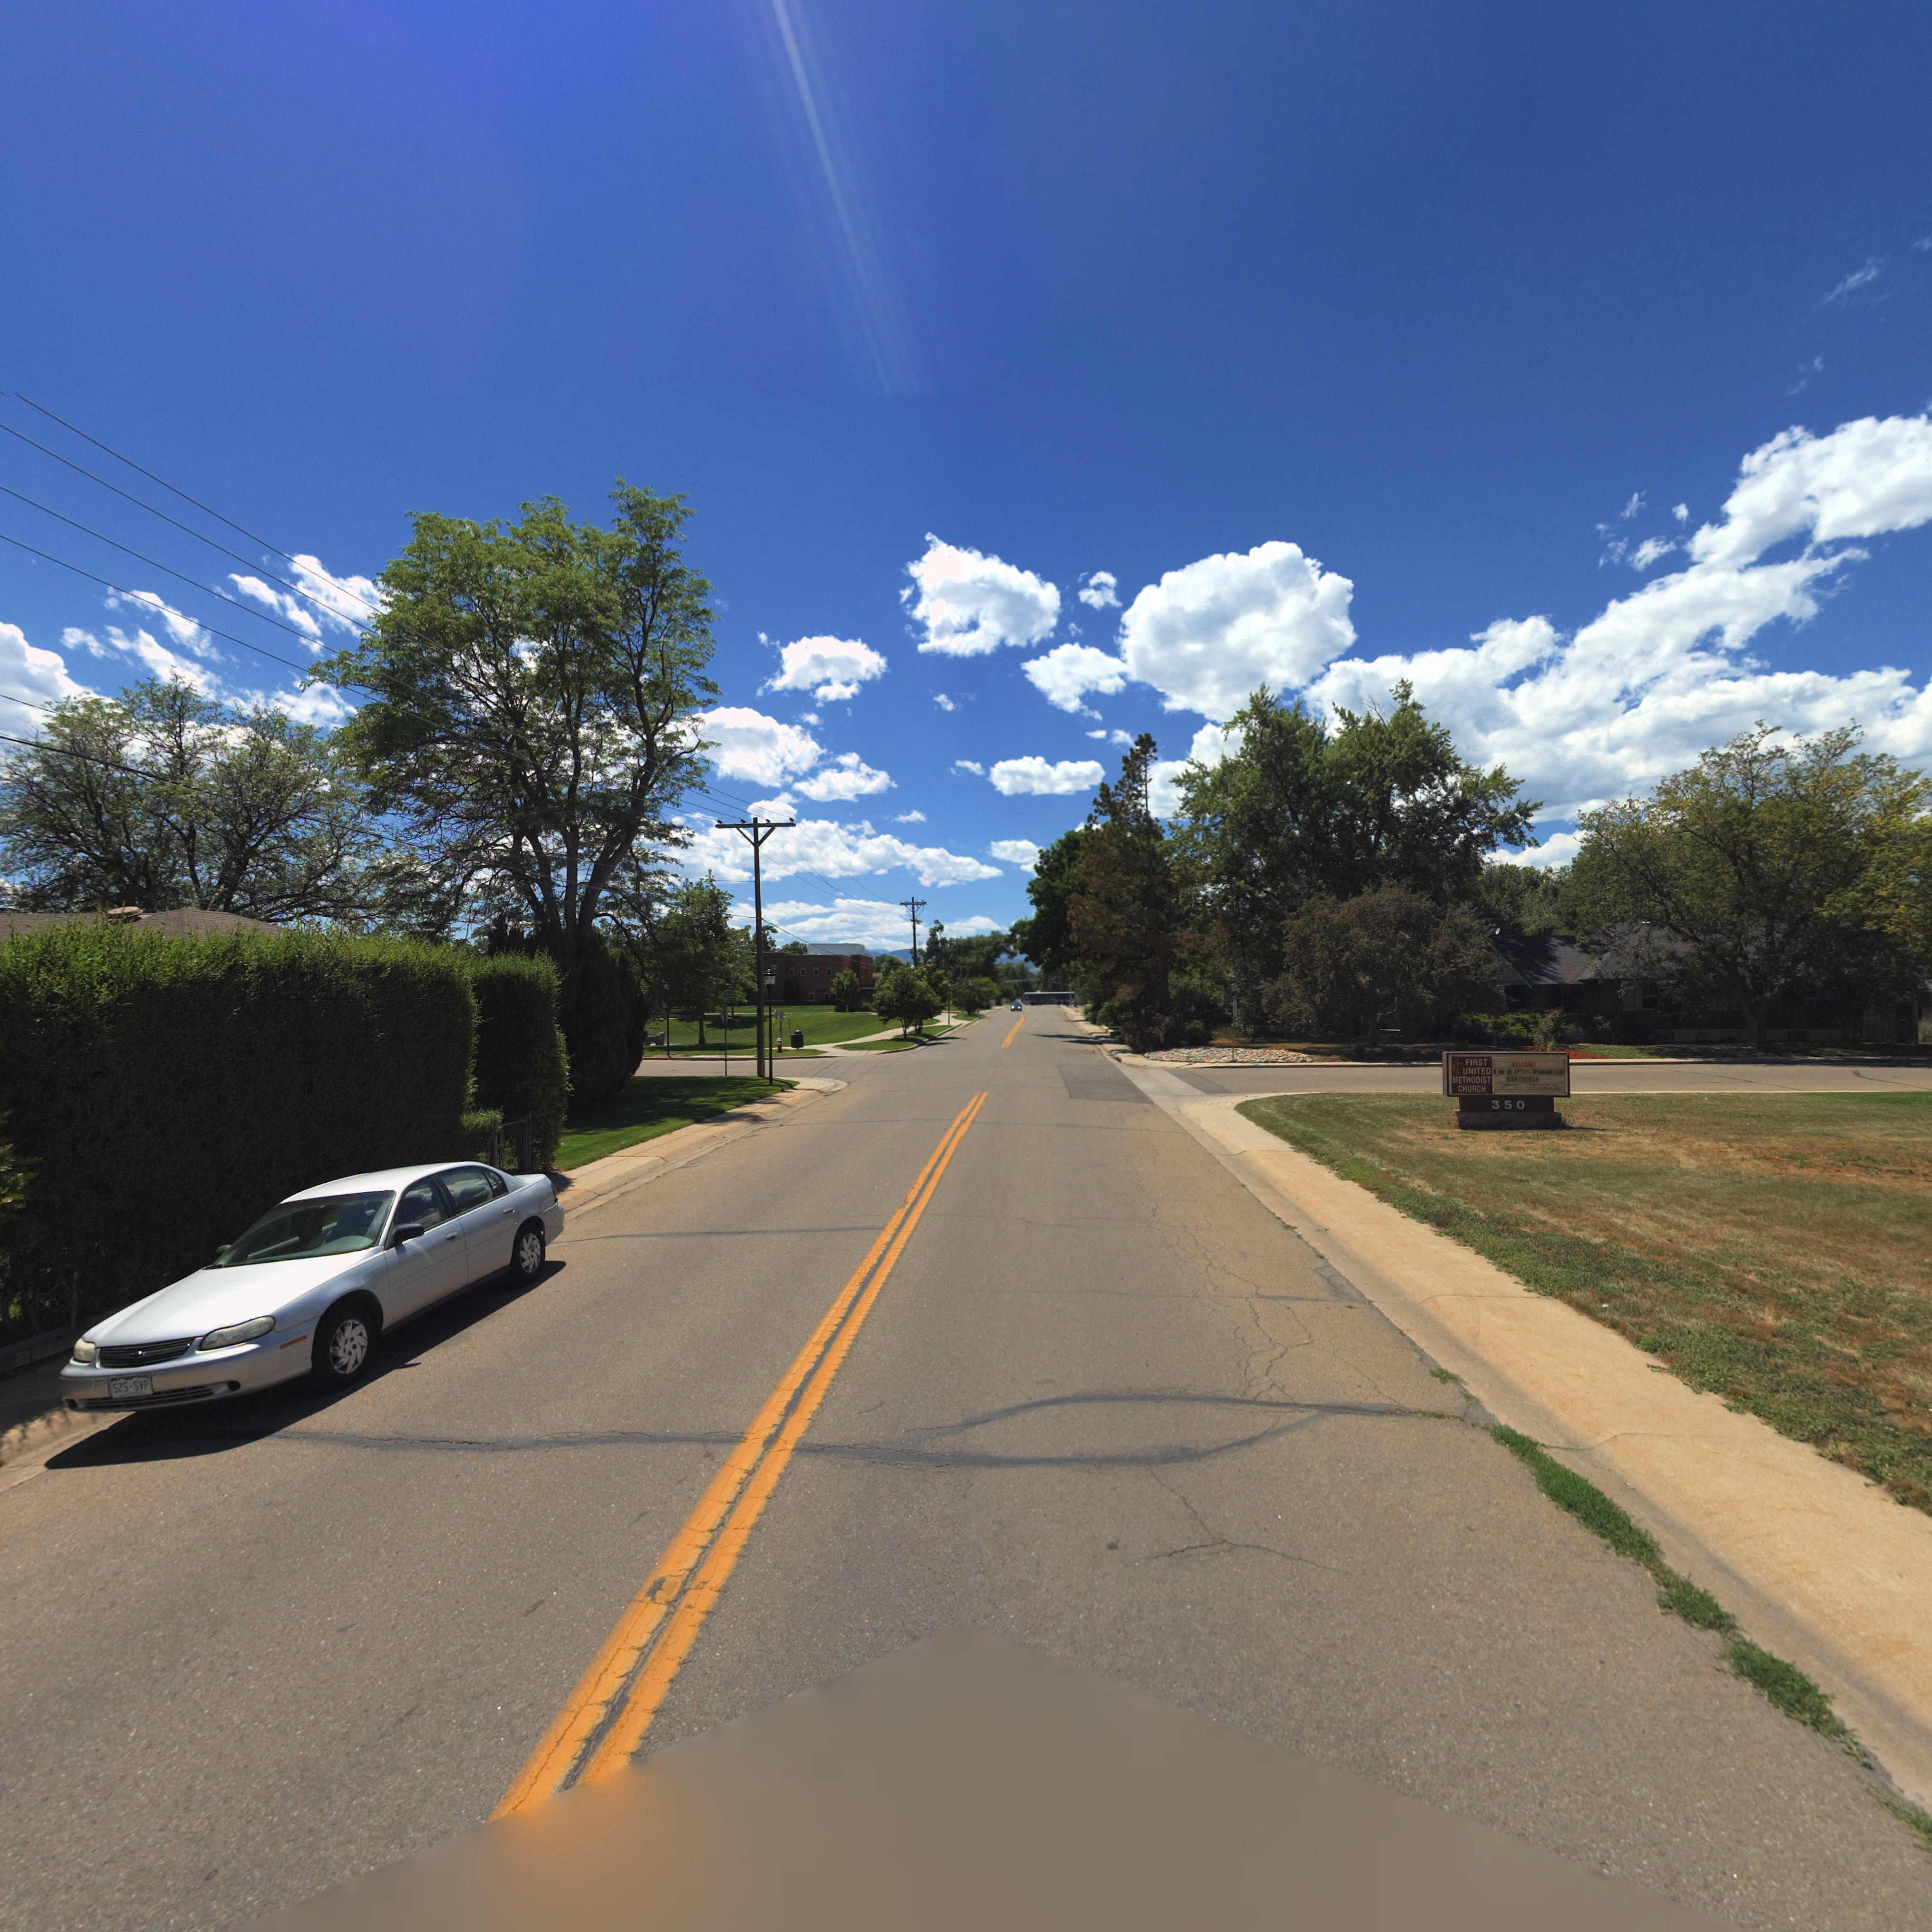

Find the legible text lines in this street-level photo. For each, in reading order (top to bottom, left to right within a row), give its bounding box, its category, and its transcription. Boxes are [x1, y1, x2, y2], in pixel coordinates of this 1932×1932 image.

[1465, 1058, 1488, 1066] BusinessName: FIRST
[1462, 1067, 1491, 1075] BusinessName: UNITED
[1452, 1076, 1491, 1084] BusinessName: METHODIST
[1458, 1085, 1486, 1093] BusinessName: CHURCH
[1491, 1100, 1525, 1110] StreetNumber: 350